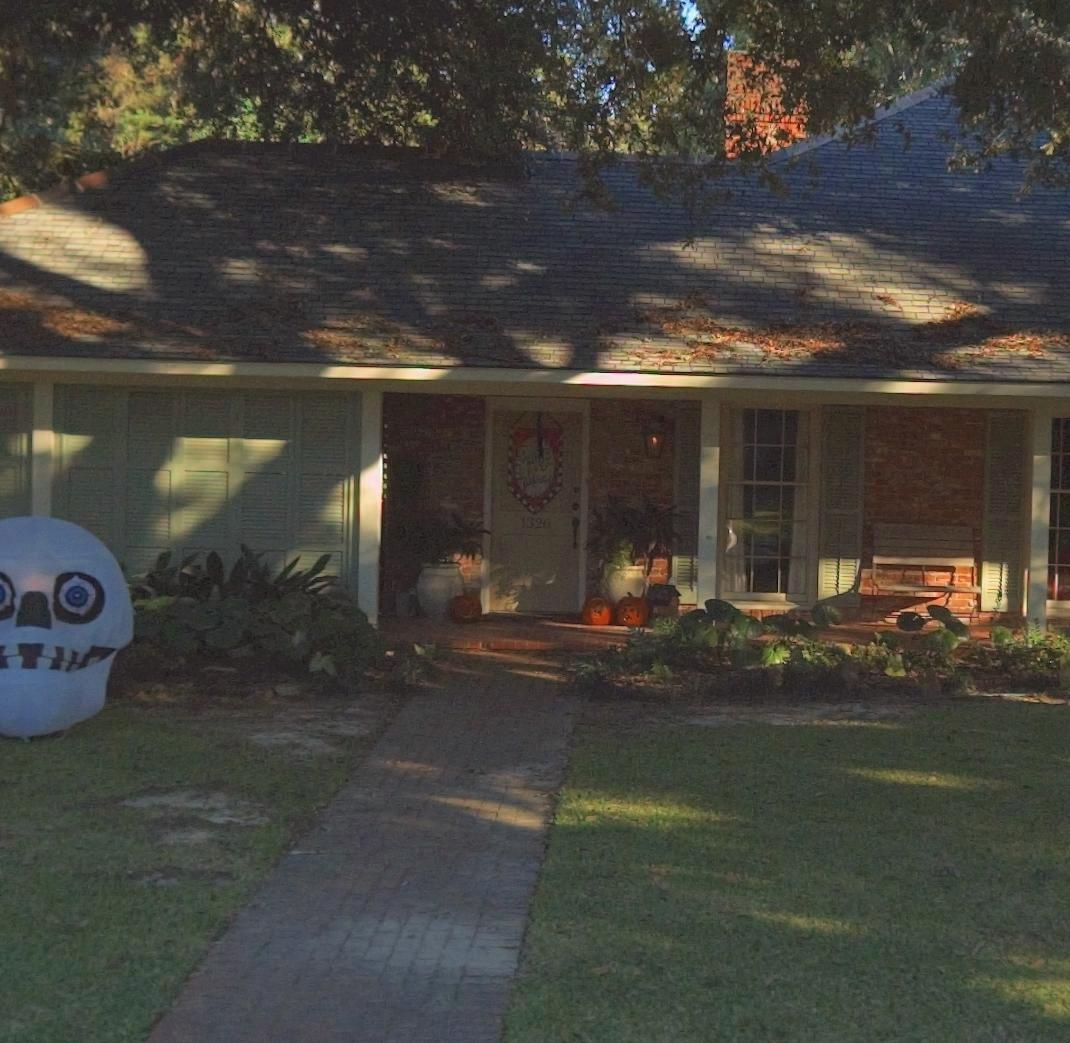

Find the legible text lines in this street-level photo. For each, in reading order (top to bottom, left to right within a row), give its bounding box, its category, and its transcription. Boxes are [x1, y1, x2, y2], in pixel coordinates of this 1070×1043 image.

[519, 514, 553, 532] StreetNumber: 1326